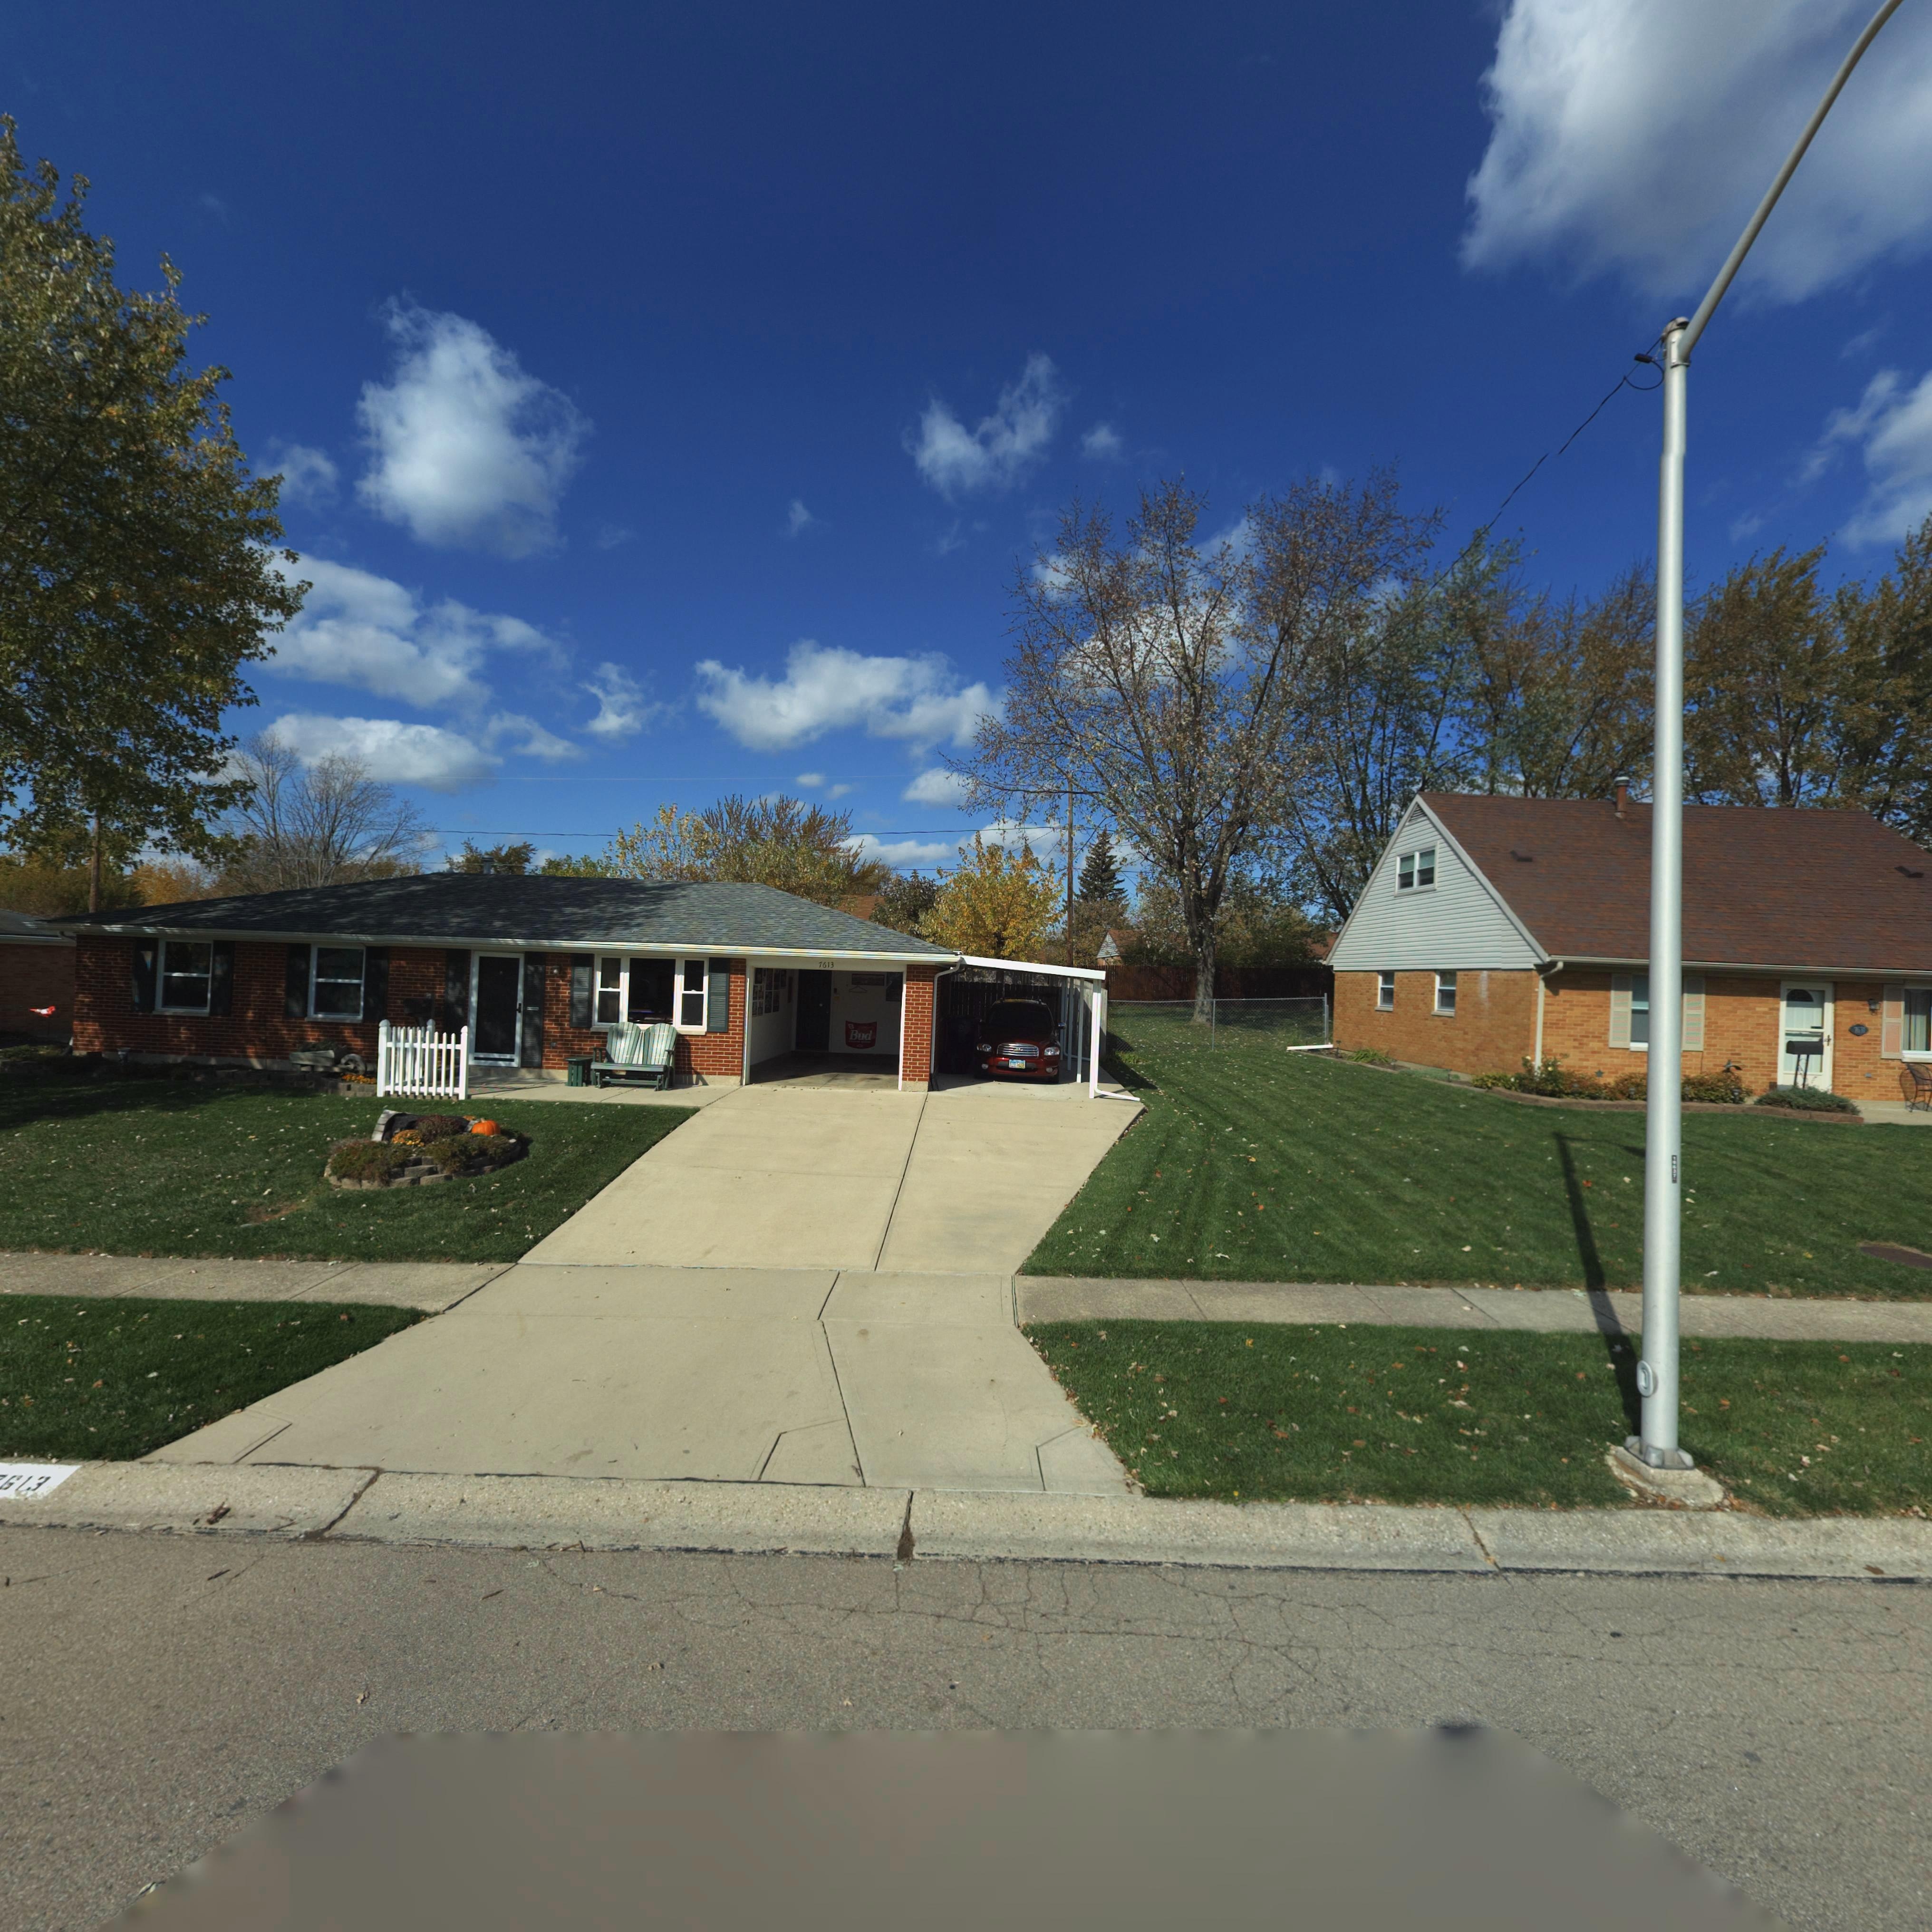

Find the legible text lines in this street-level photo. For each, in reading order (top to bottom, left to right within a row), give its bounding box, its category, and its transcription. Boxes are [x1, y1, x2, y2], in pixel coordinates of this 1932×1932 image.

[818, 961, 834, 969] StreetNumber: 7613
[1853, 1026, 1866, 1034] StreetNumber: 76**
[0, 1474, 53, 1493] StreetNumber: 613